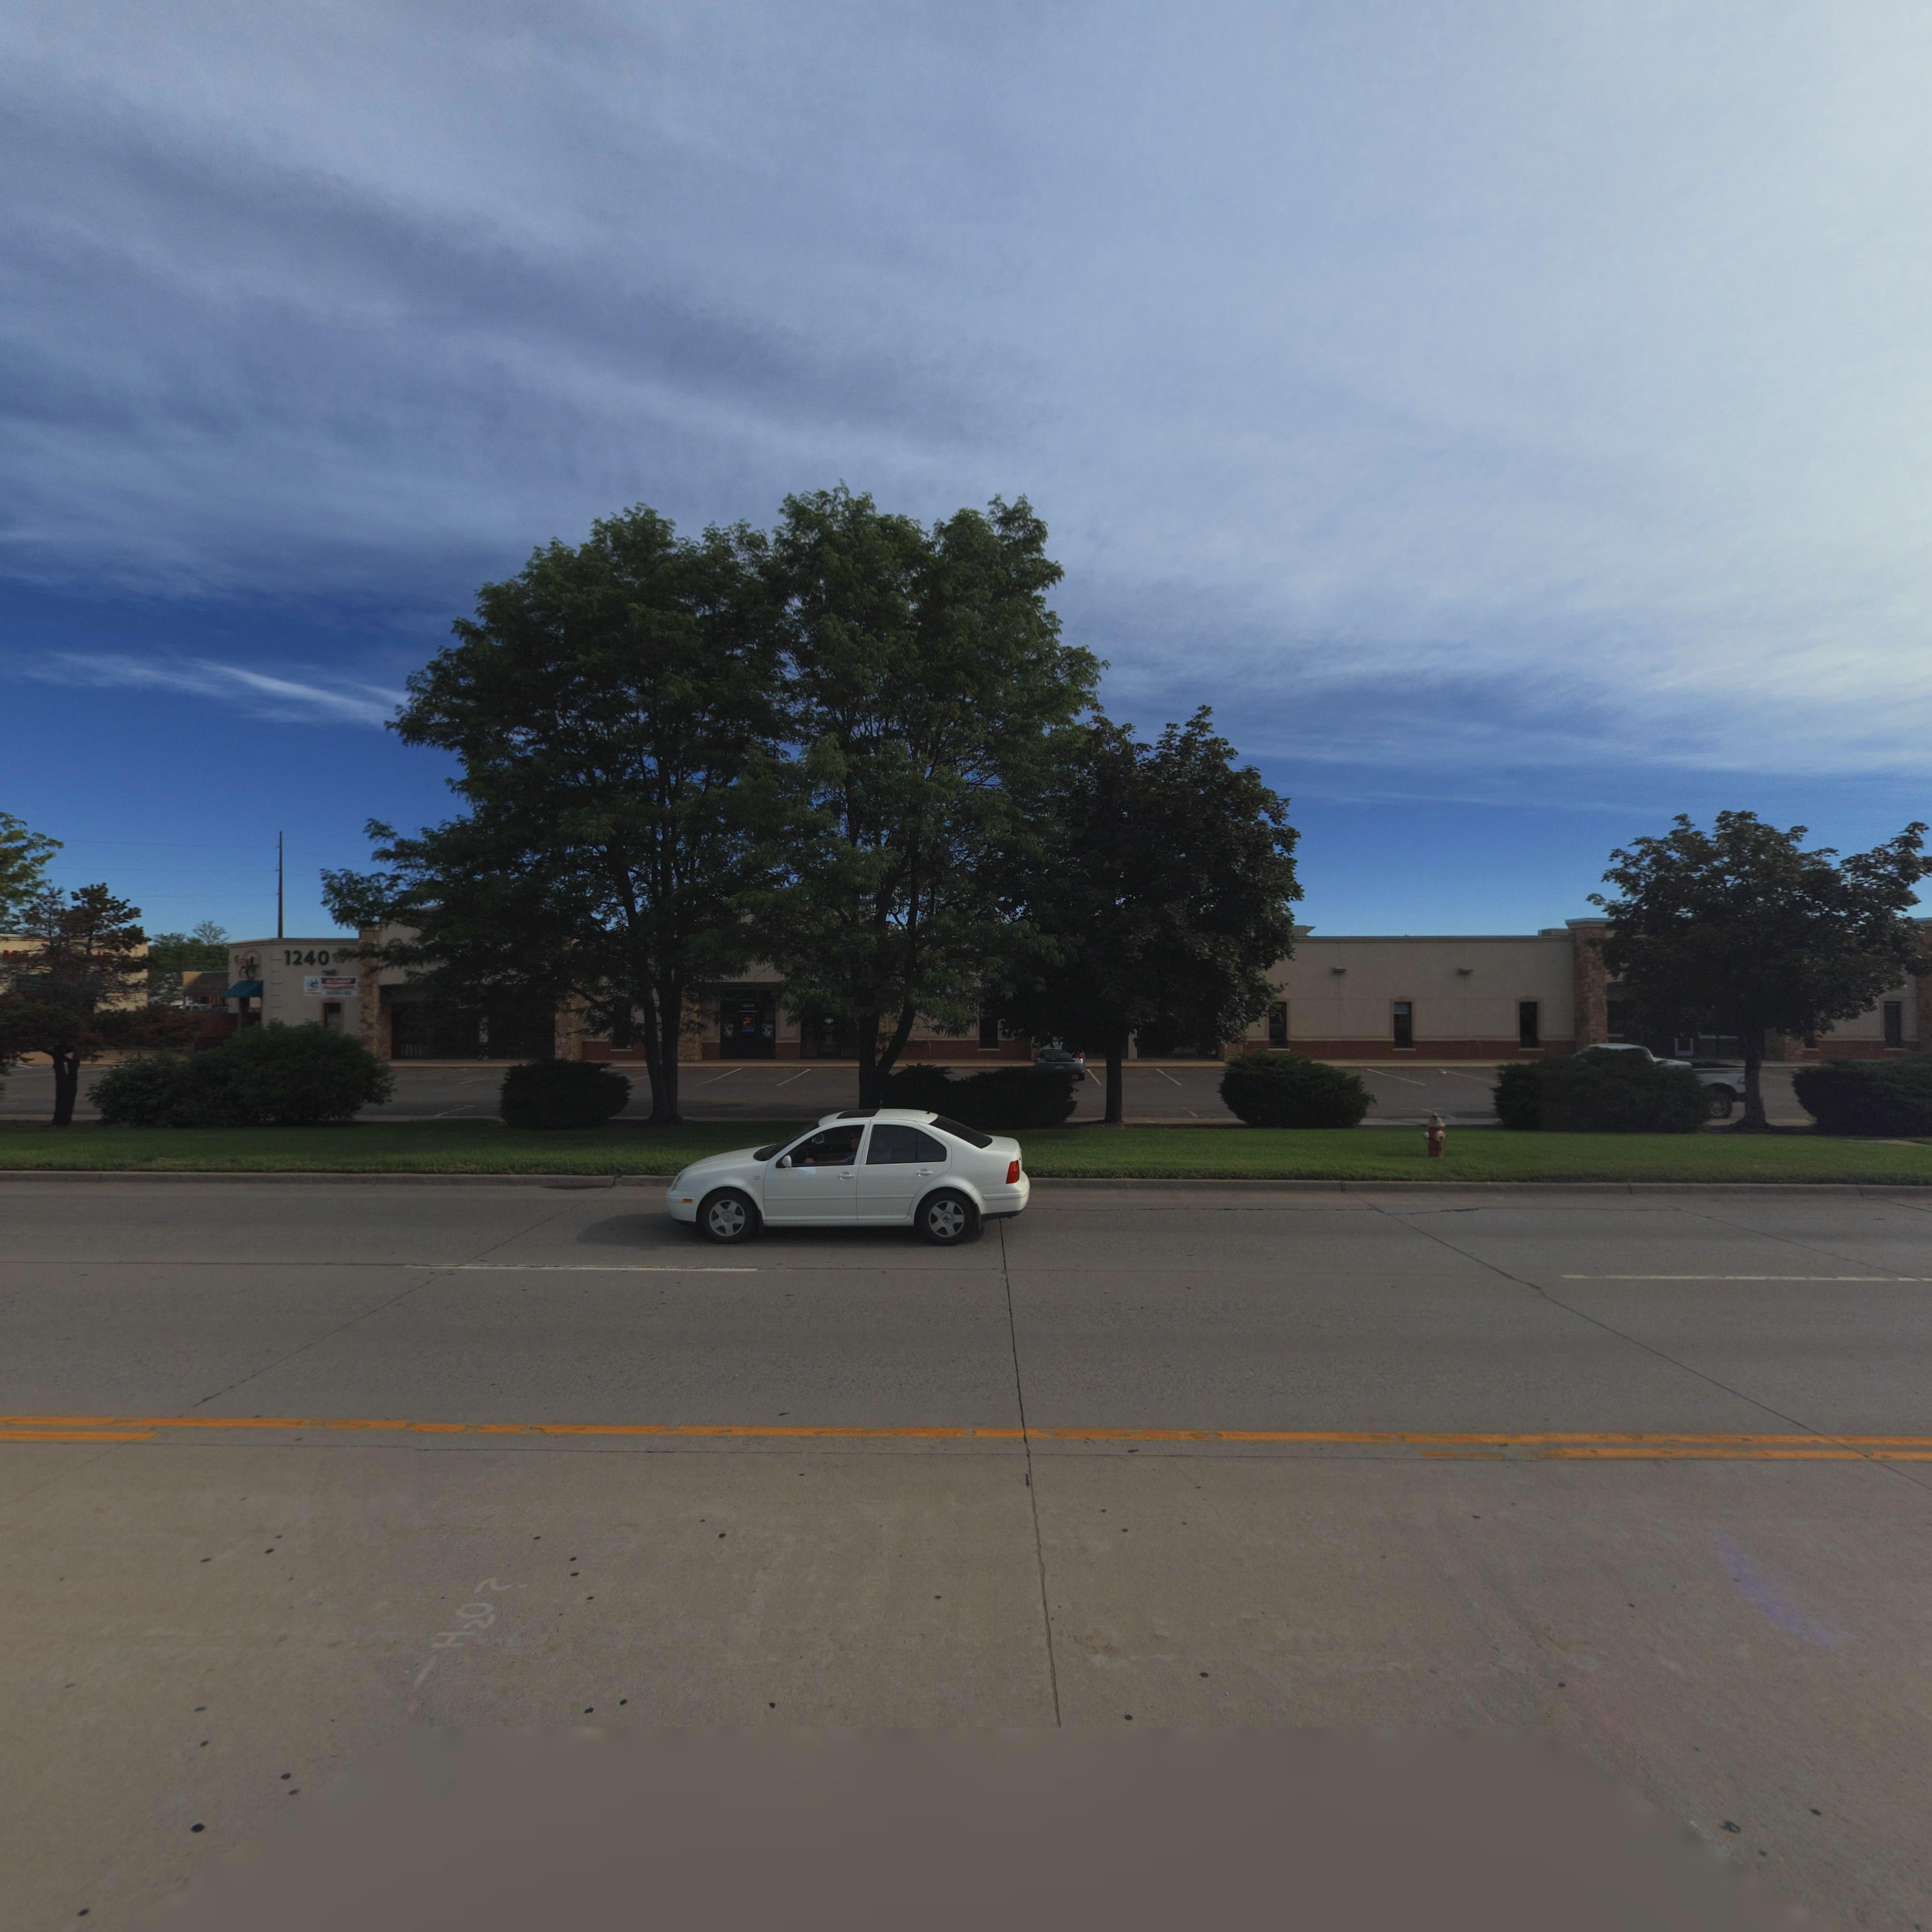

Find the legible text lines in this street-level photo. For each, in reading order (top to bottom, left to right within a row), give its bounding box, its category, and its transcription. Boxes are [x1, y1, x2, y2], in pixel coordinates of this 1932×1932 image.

[283, 949, 331, 966] StreetNumber: 1240